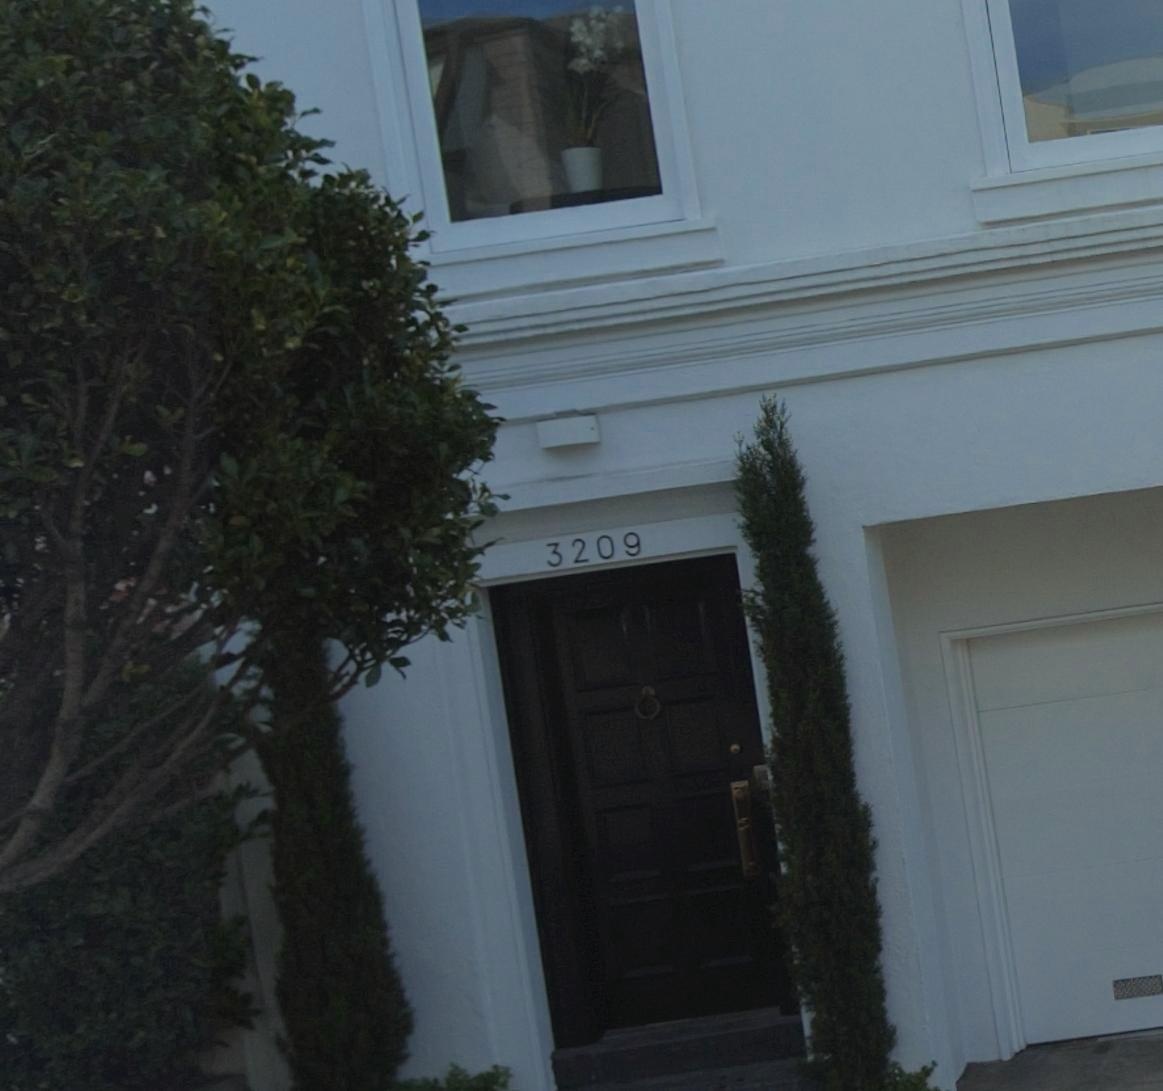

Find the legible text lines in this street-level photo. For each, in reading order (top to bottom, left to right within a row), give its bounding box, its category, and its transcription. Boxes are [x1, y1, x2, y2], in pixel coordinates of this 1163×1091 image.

[541, 527, 645, 570] StreetNumber: 3209